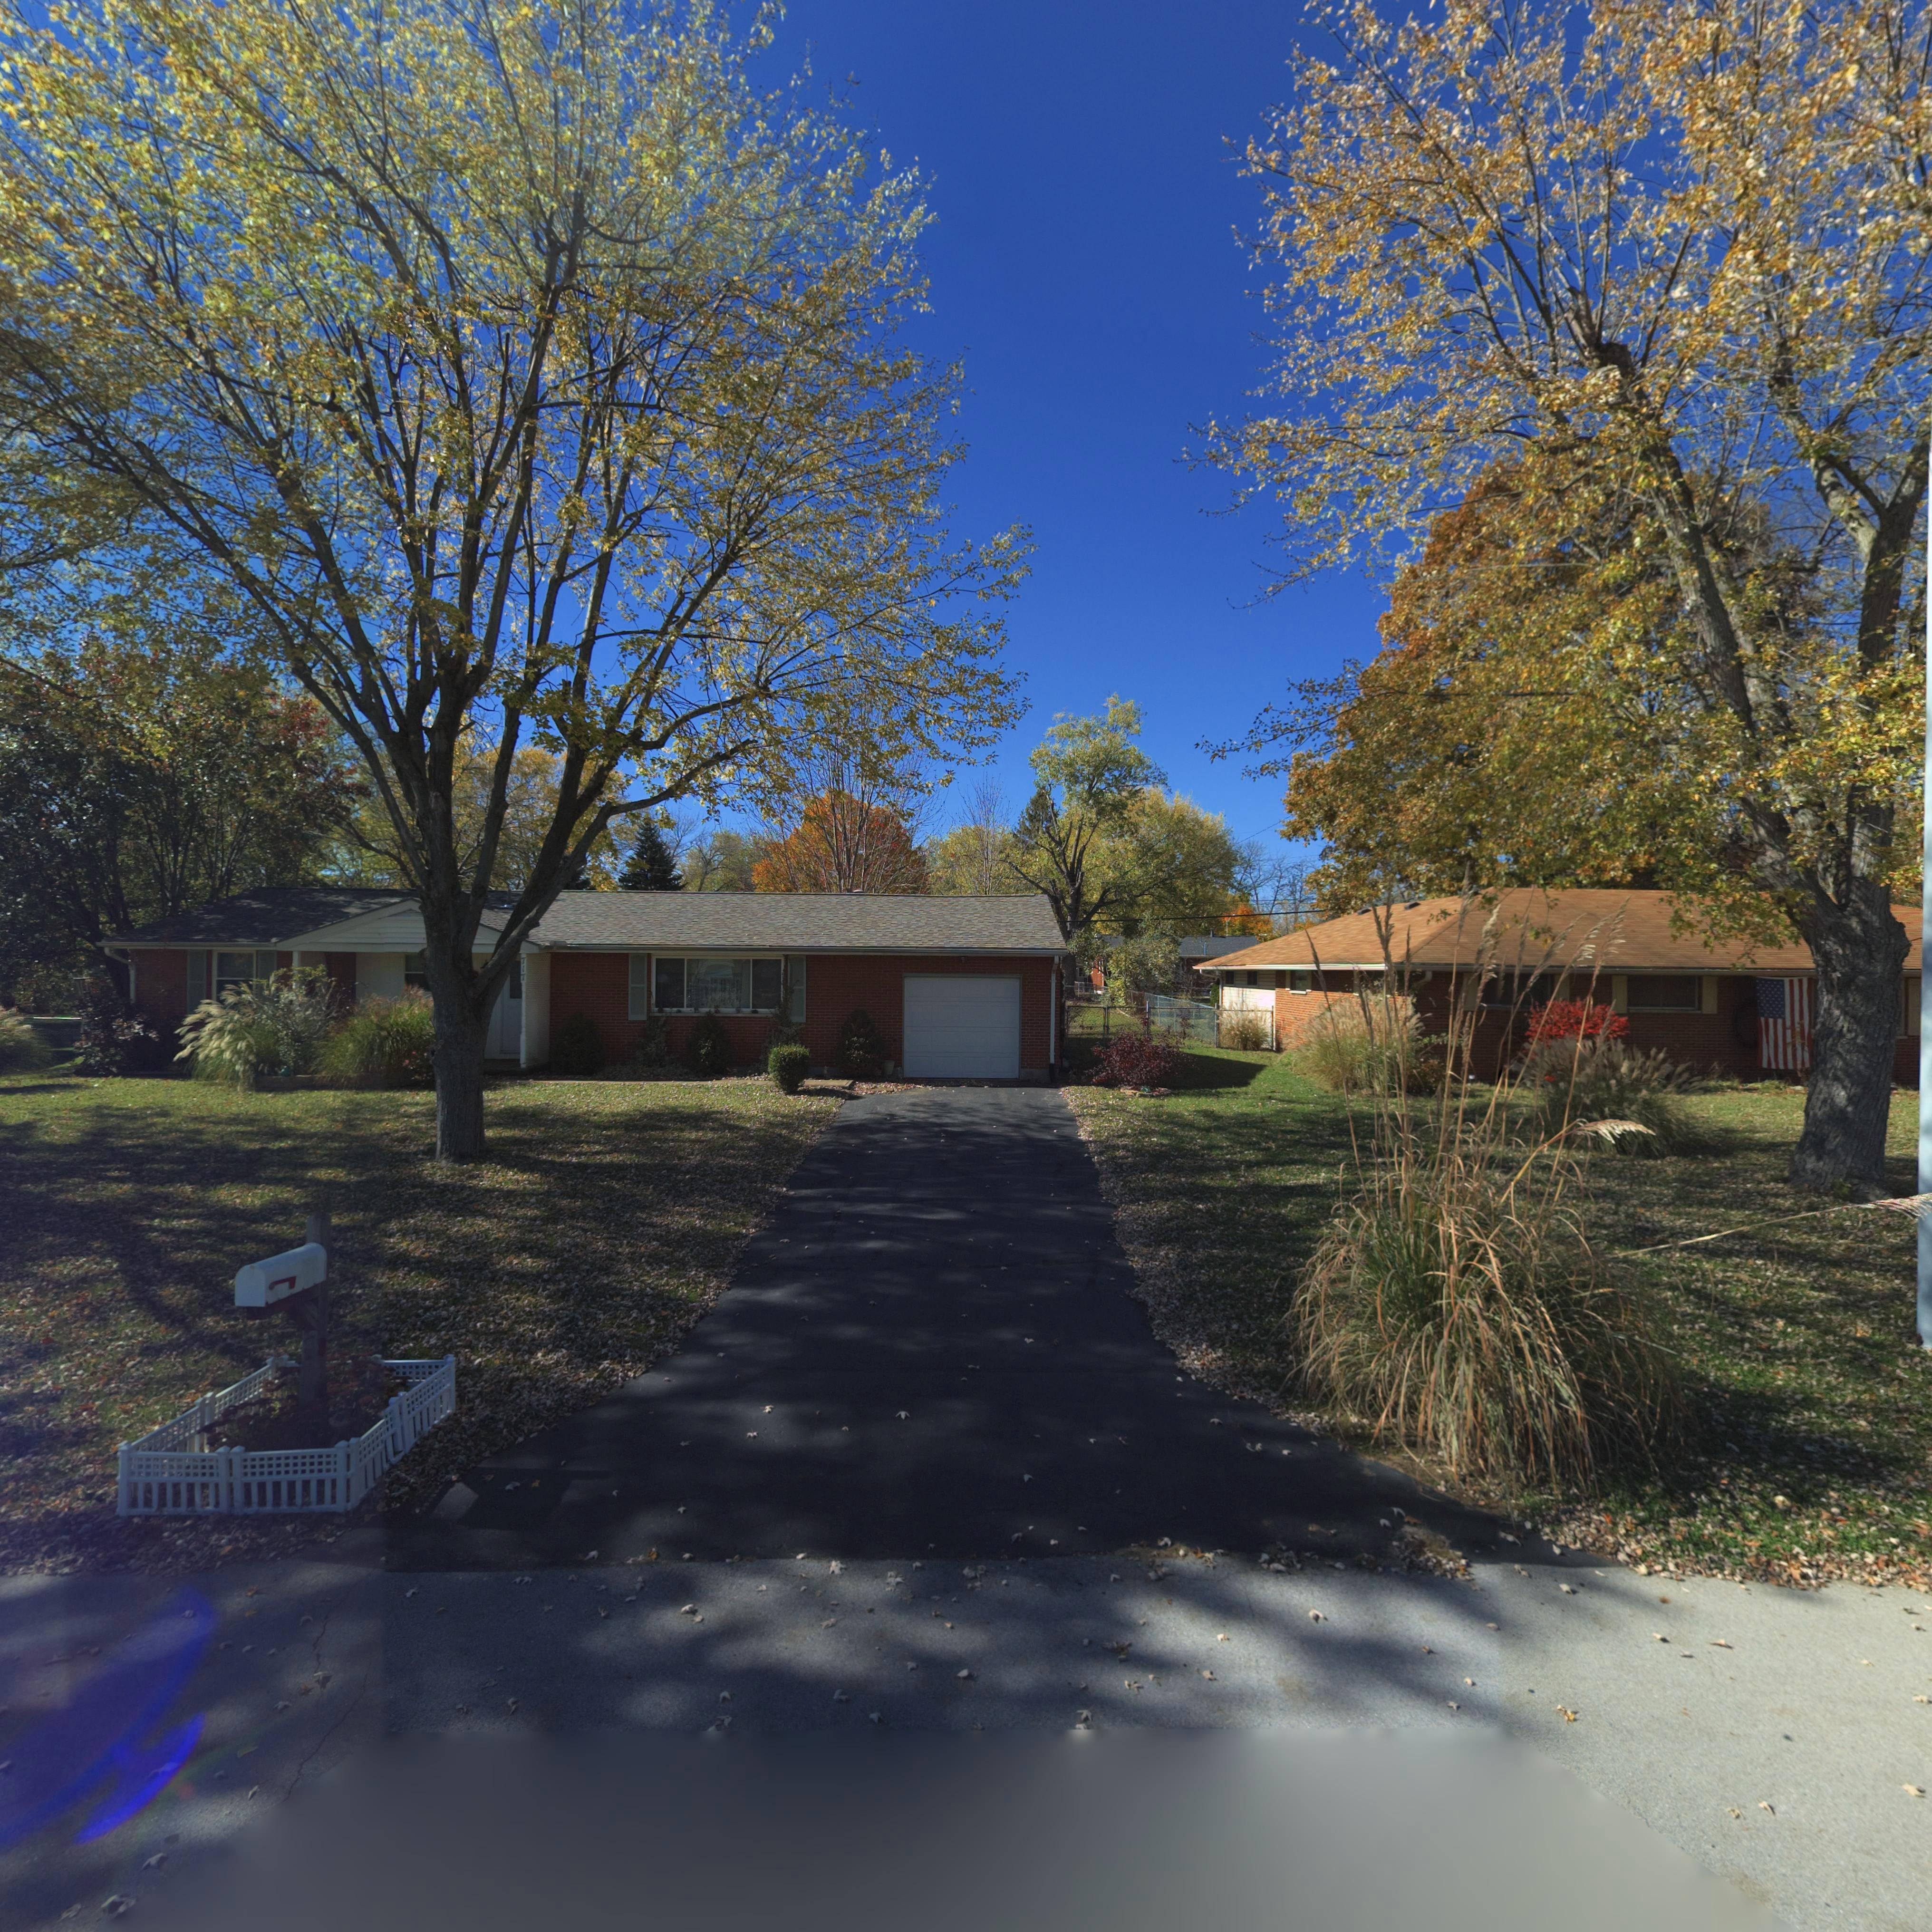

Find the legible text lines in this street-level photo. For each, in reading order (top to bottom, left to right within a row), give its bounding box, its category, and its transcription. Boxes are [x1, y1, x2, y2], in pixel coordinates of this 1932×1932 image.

[520, 956, 526, 981] StreetNumber: 717